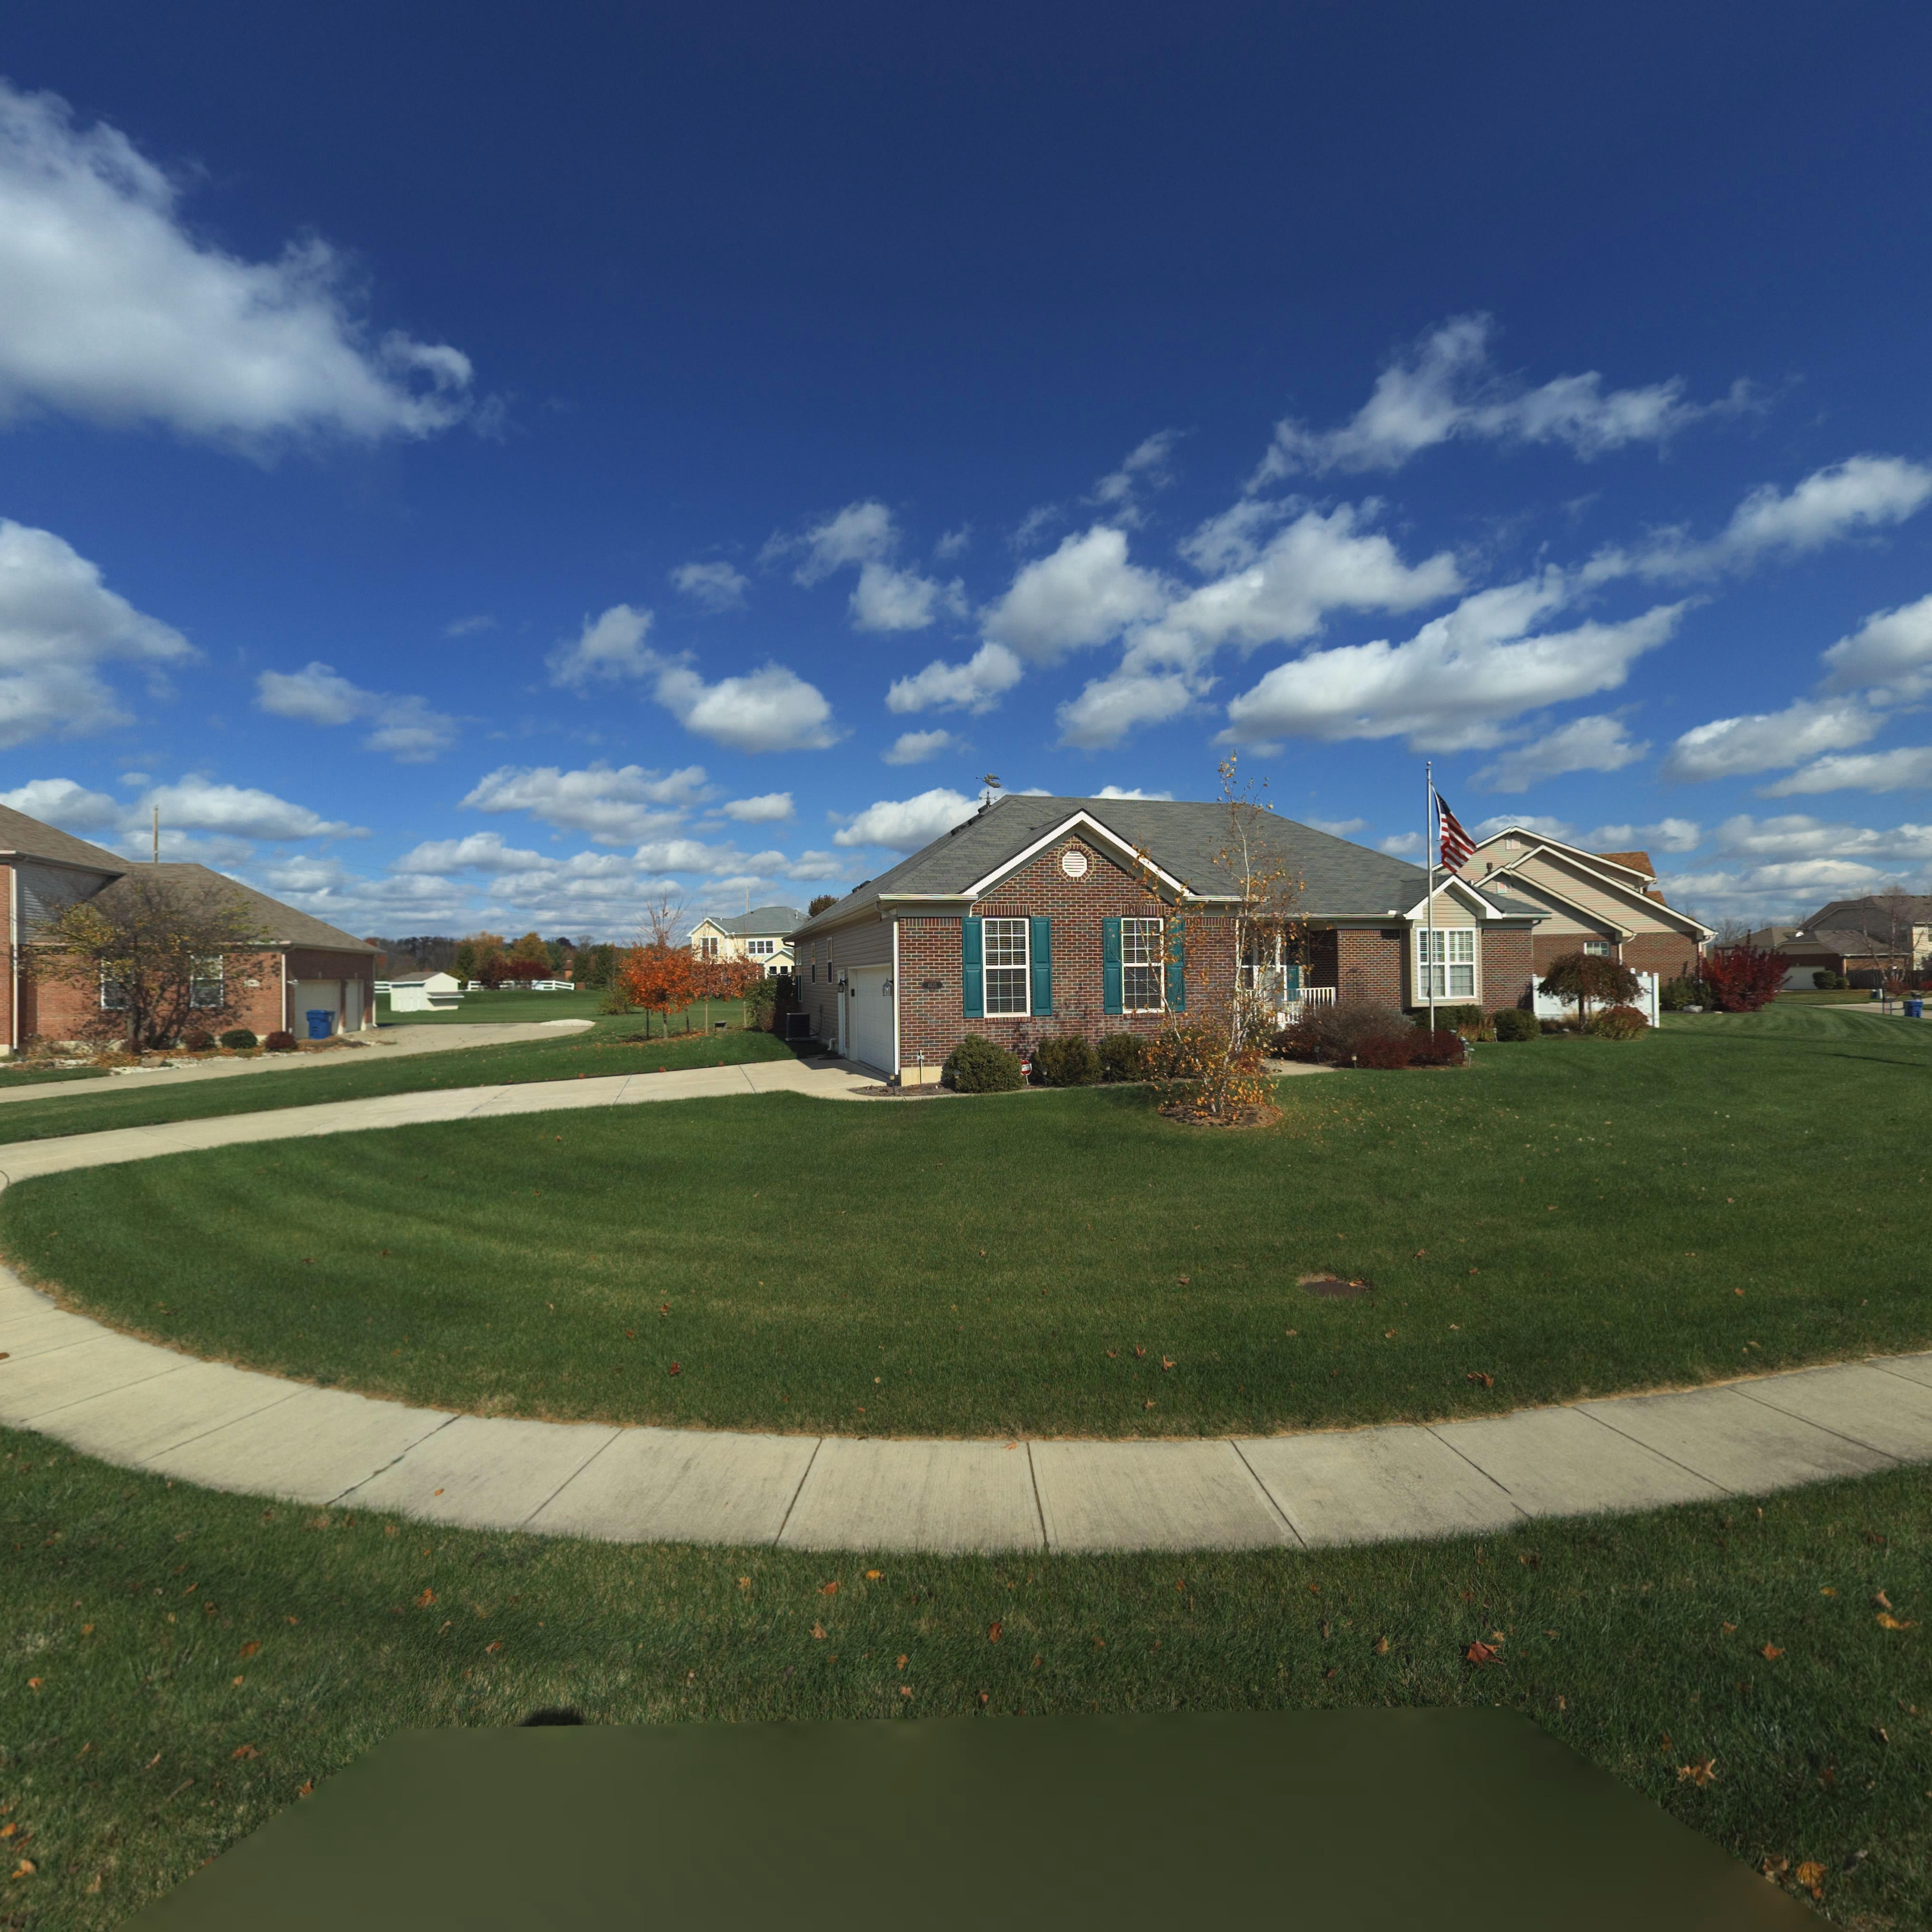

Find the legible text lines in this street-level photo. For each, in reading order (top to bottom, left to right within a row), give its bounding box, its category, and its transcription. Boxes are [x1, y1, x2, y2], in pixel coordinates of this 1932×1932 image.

[927, 982, 937, 988] StreetNumber: 6635